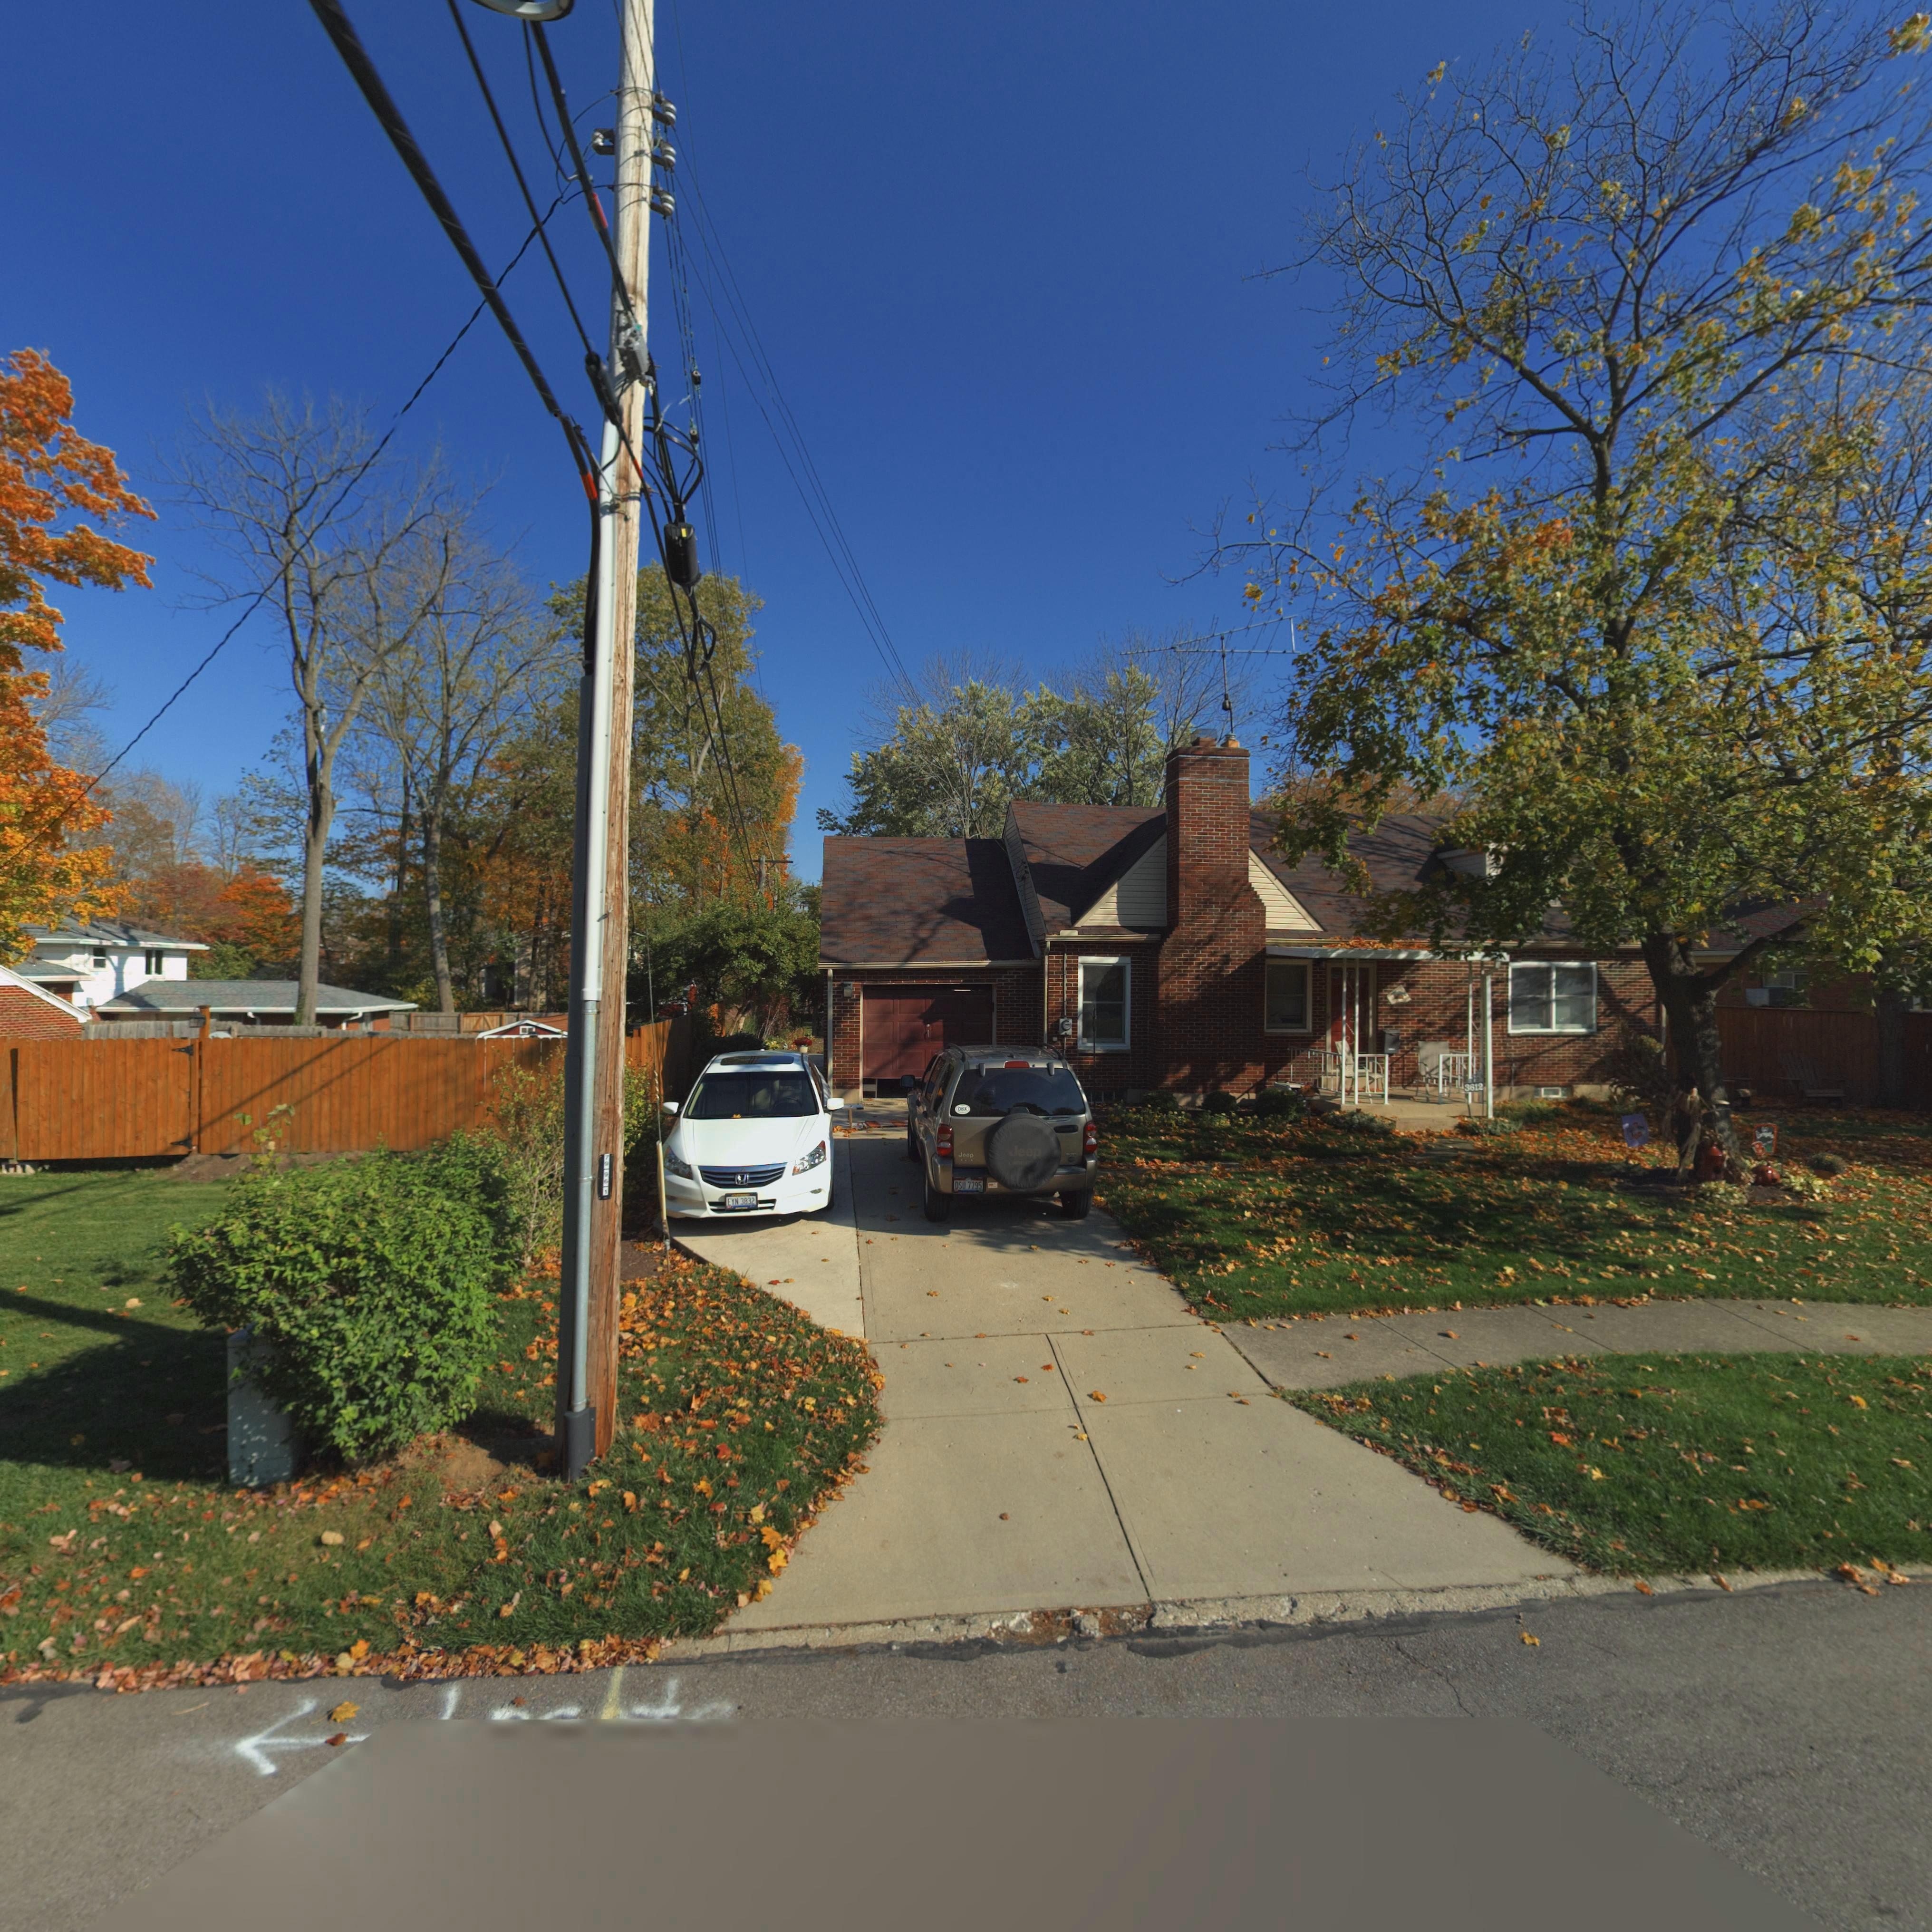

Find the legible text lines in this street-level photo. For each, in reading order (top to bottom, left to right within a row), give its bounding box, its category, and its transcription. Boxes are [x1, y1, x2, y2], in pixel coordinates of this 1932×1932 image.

[1464, 1082, 1484, 1092] StreetNumber: 3812
[956, 1106, 967, 1111] None: OBX
[957, 1151, 974, 1159] None: Jeep
[1008, 1145, 1042, 1161] None: Jeep
[1750, 1141, 1767, 1158] None: B
[603, 1154, 609, 1195] None: 79961
[955, 1181, 982, 1190] None: DSU*7795
[727, 1197, 755, 1207] None: EYN*3832